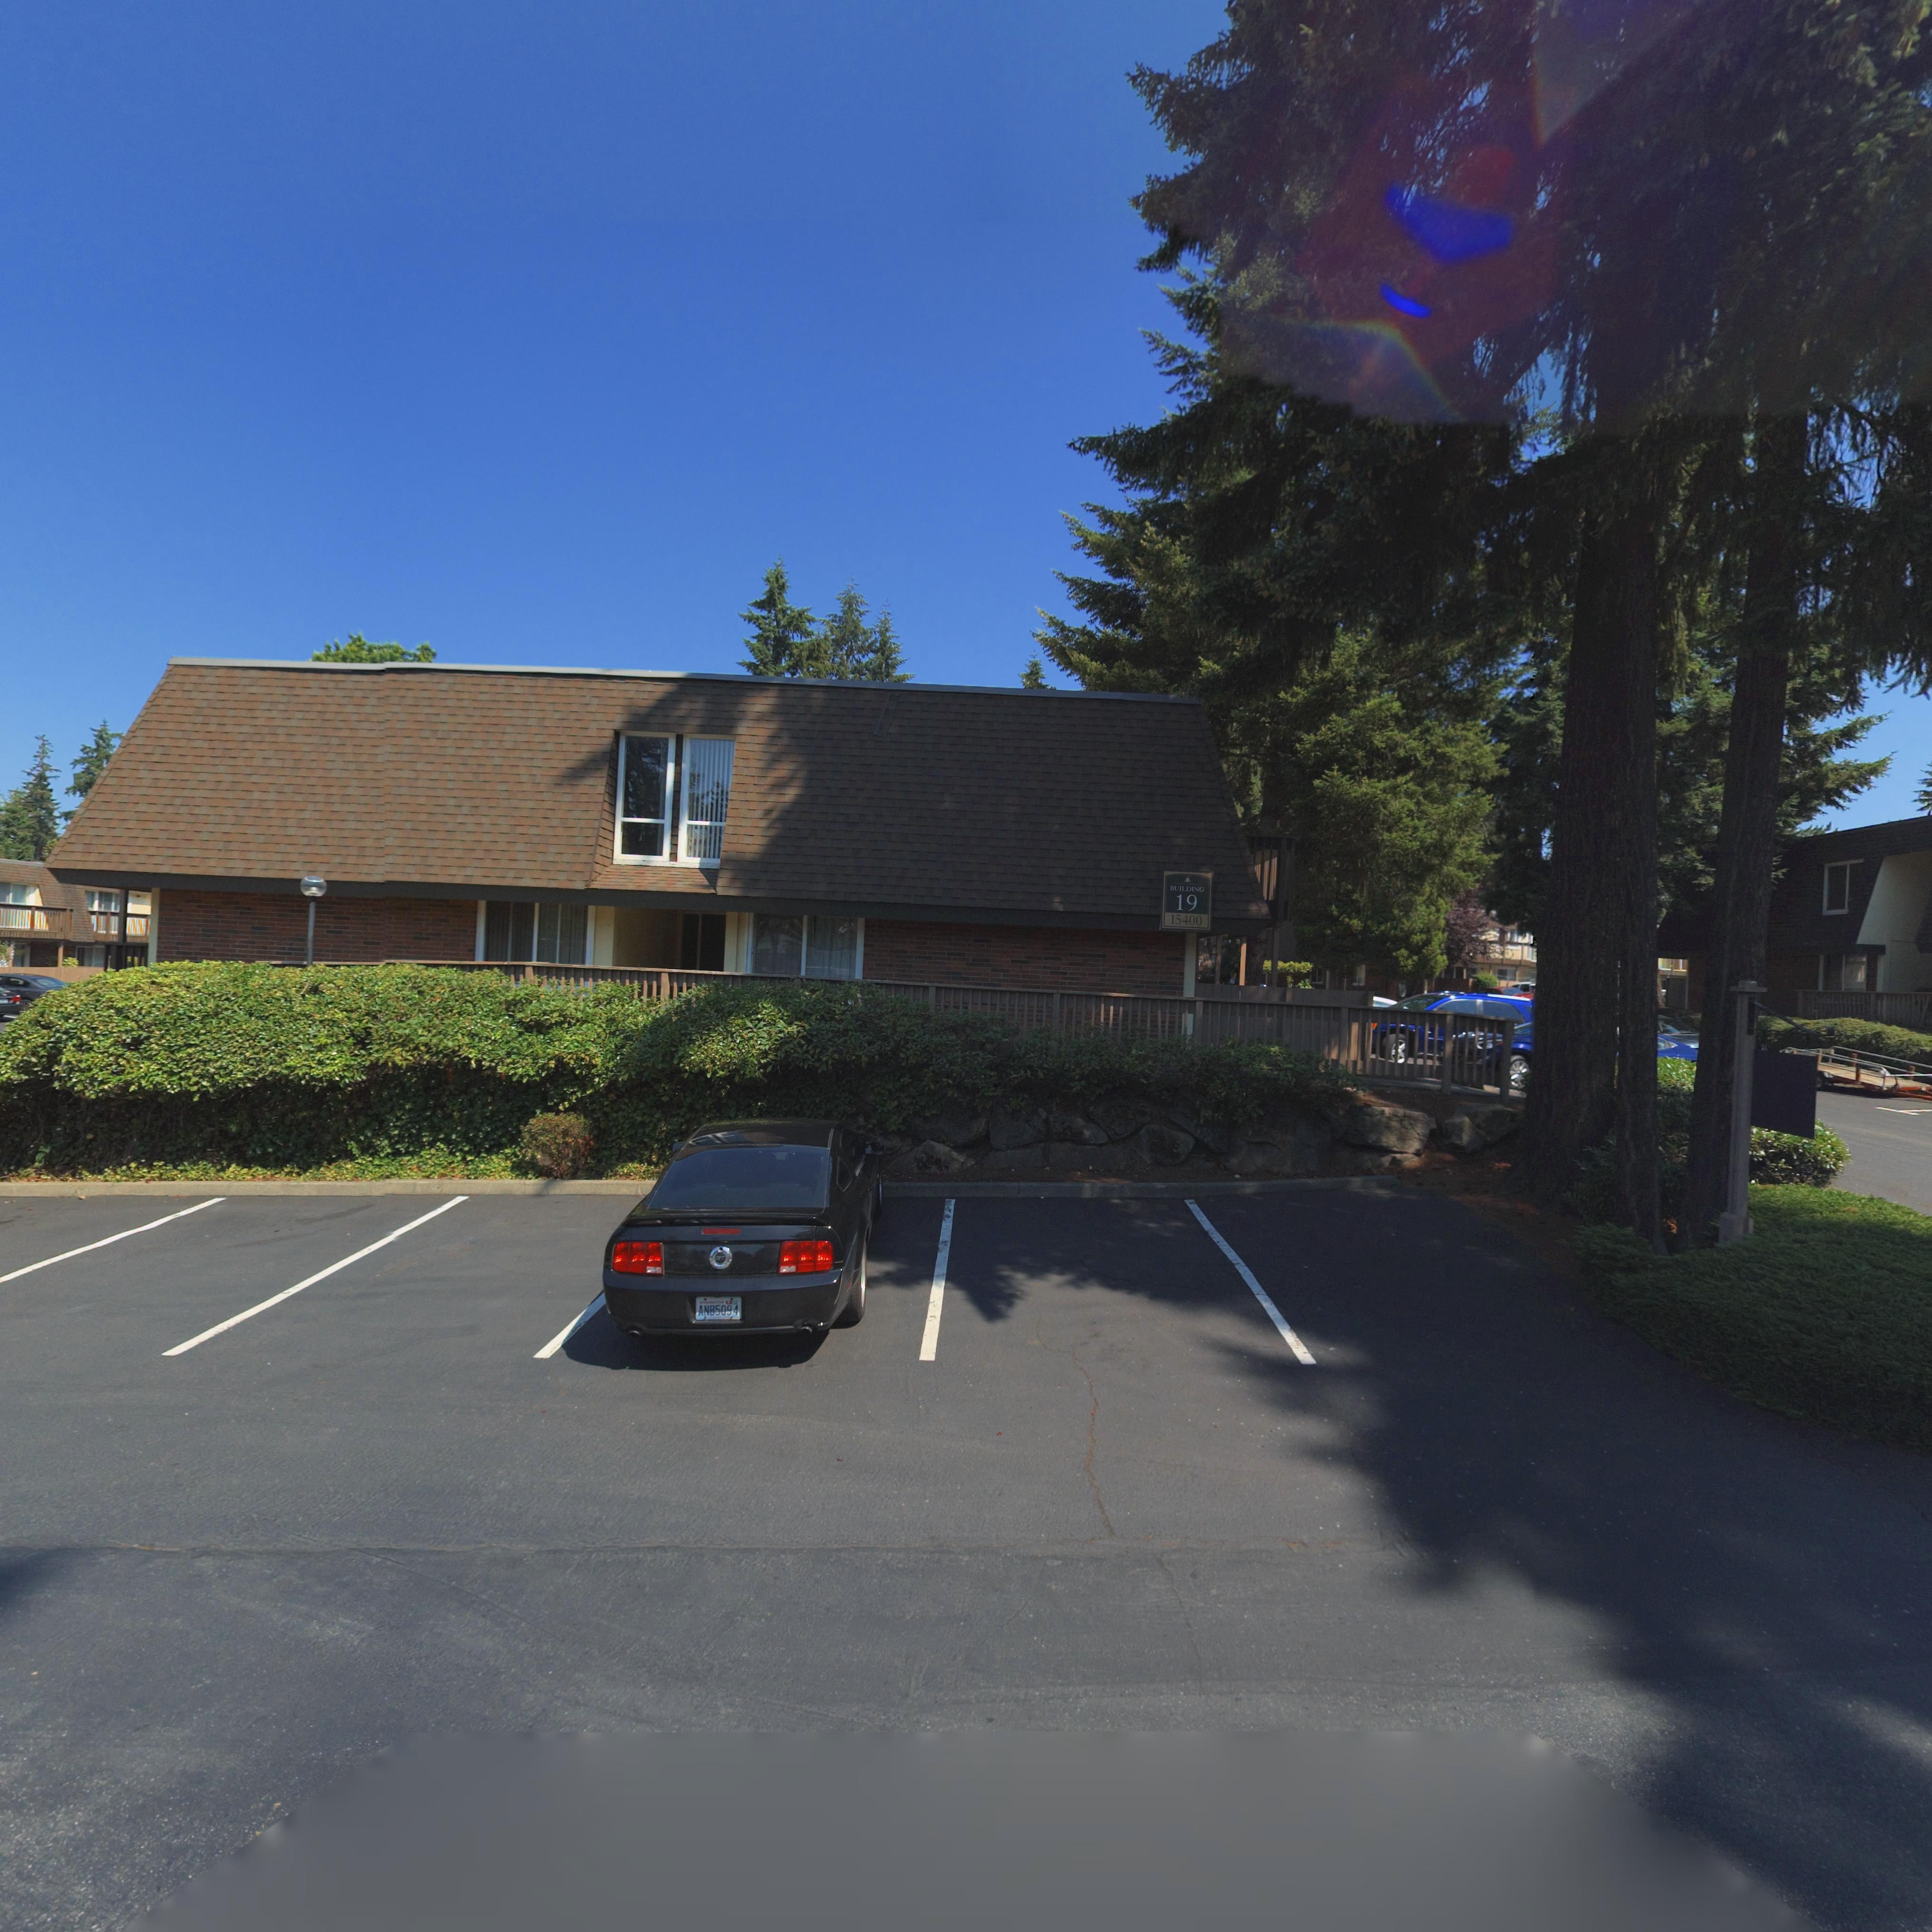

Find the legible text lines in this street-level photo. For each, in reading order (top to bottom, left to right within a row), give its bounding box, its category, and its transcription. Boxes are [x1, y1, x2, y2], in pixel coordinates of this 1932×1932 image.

[1168, 884, 1205, 912] SecondaryUnitDesignator: BUILDING 19
[1170, 914, 1203, 926] StreetNumber: 15400